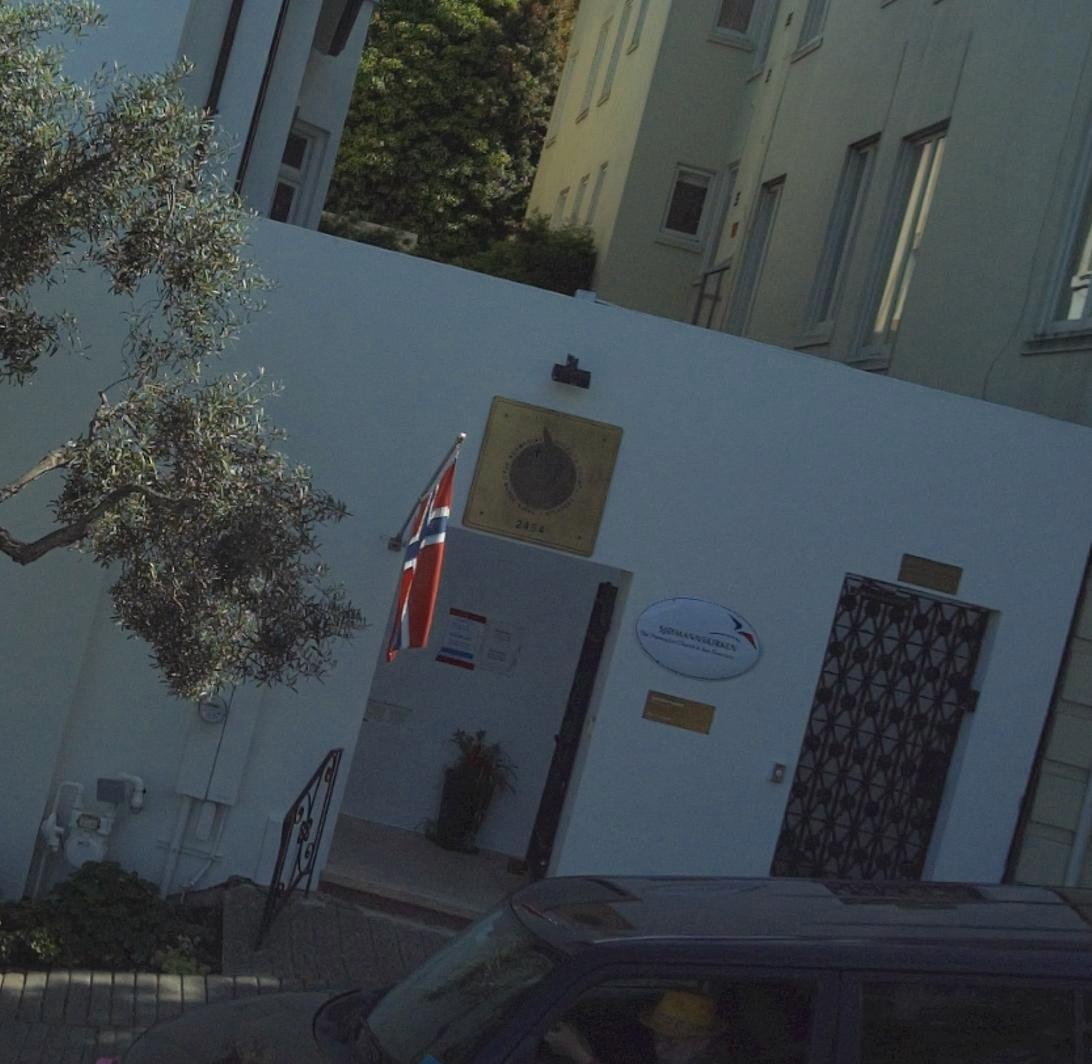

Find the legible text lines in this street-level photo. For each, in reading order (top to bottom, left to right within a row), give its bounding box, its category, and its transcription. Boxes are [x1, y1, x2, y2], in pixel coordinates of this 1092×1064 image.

[513, 518, 546, 535] StreetNumber: 2454